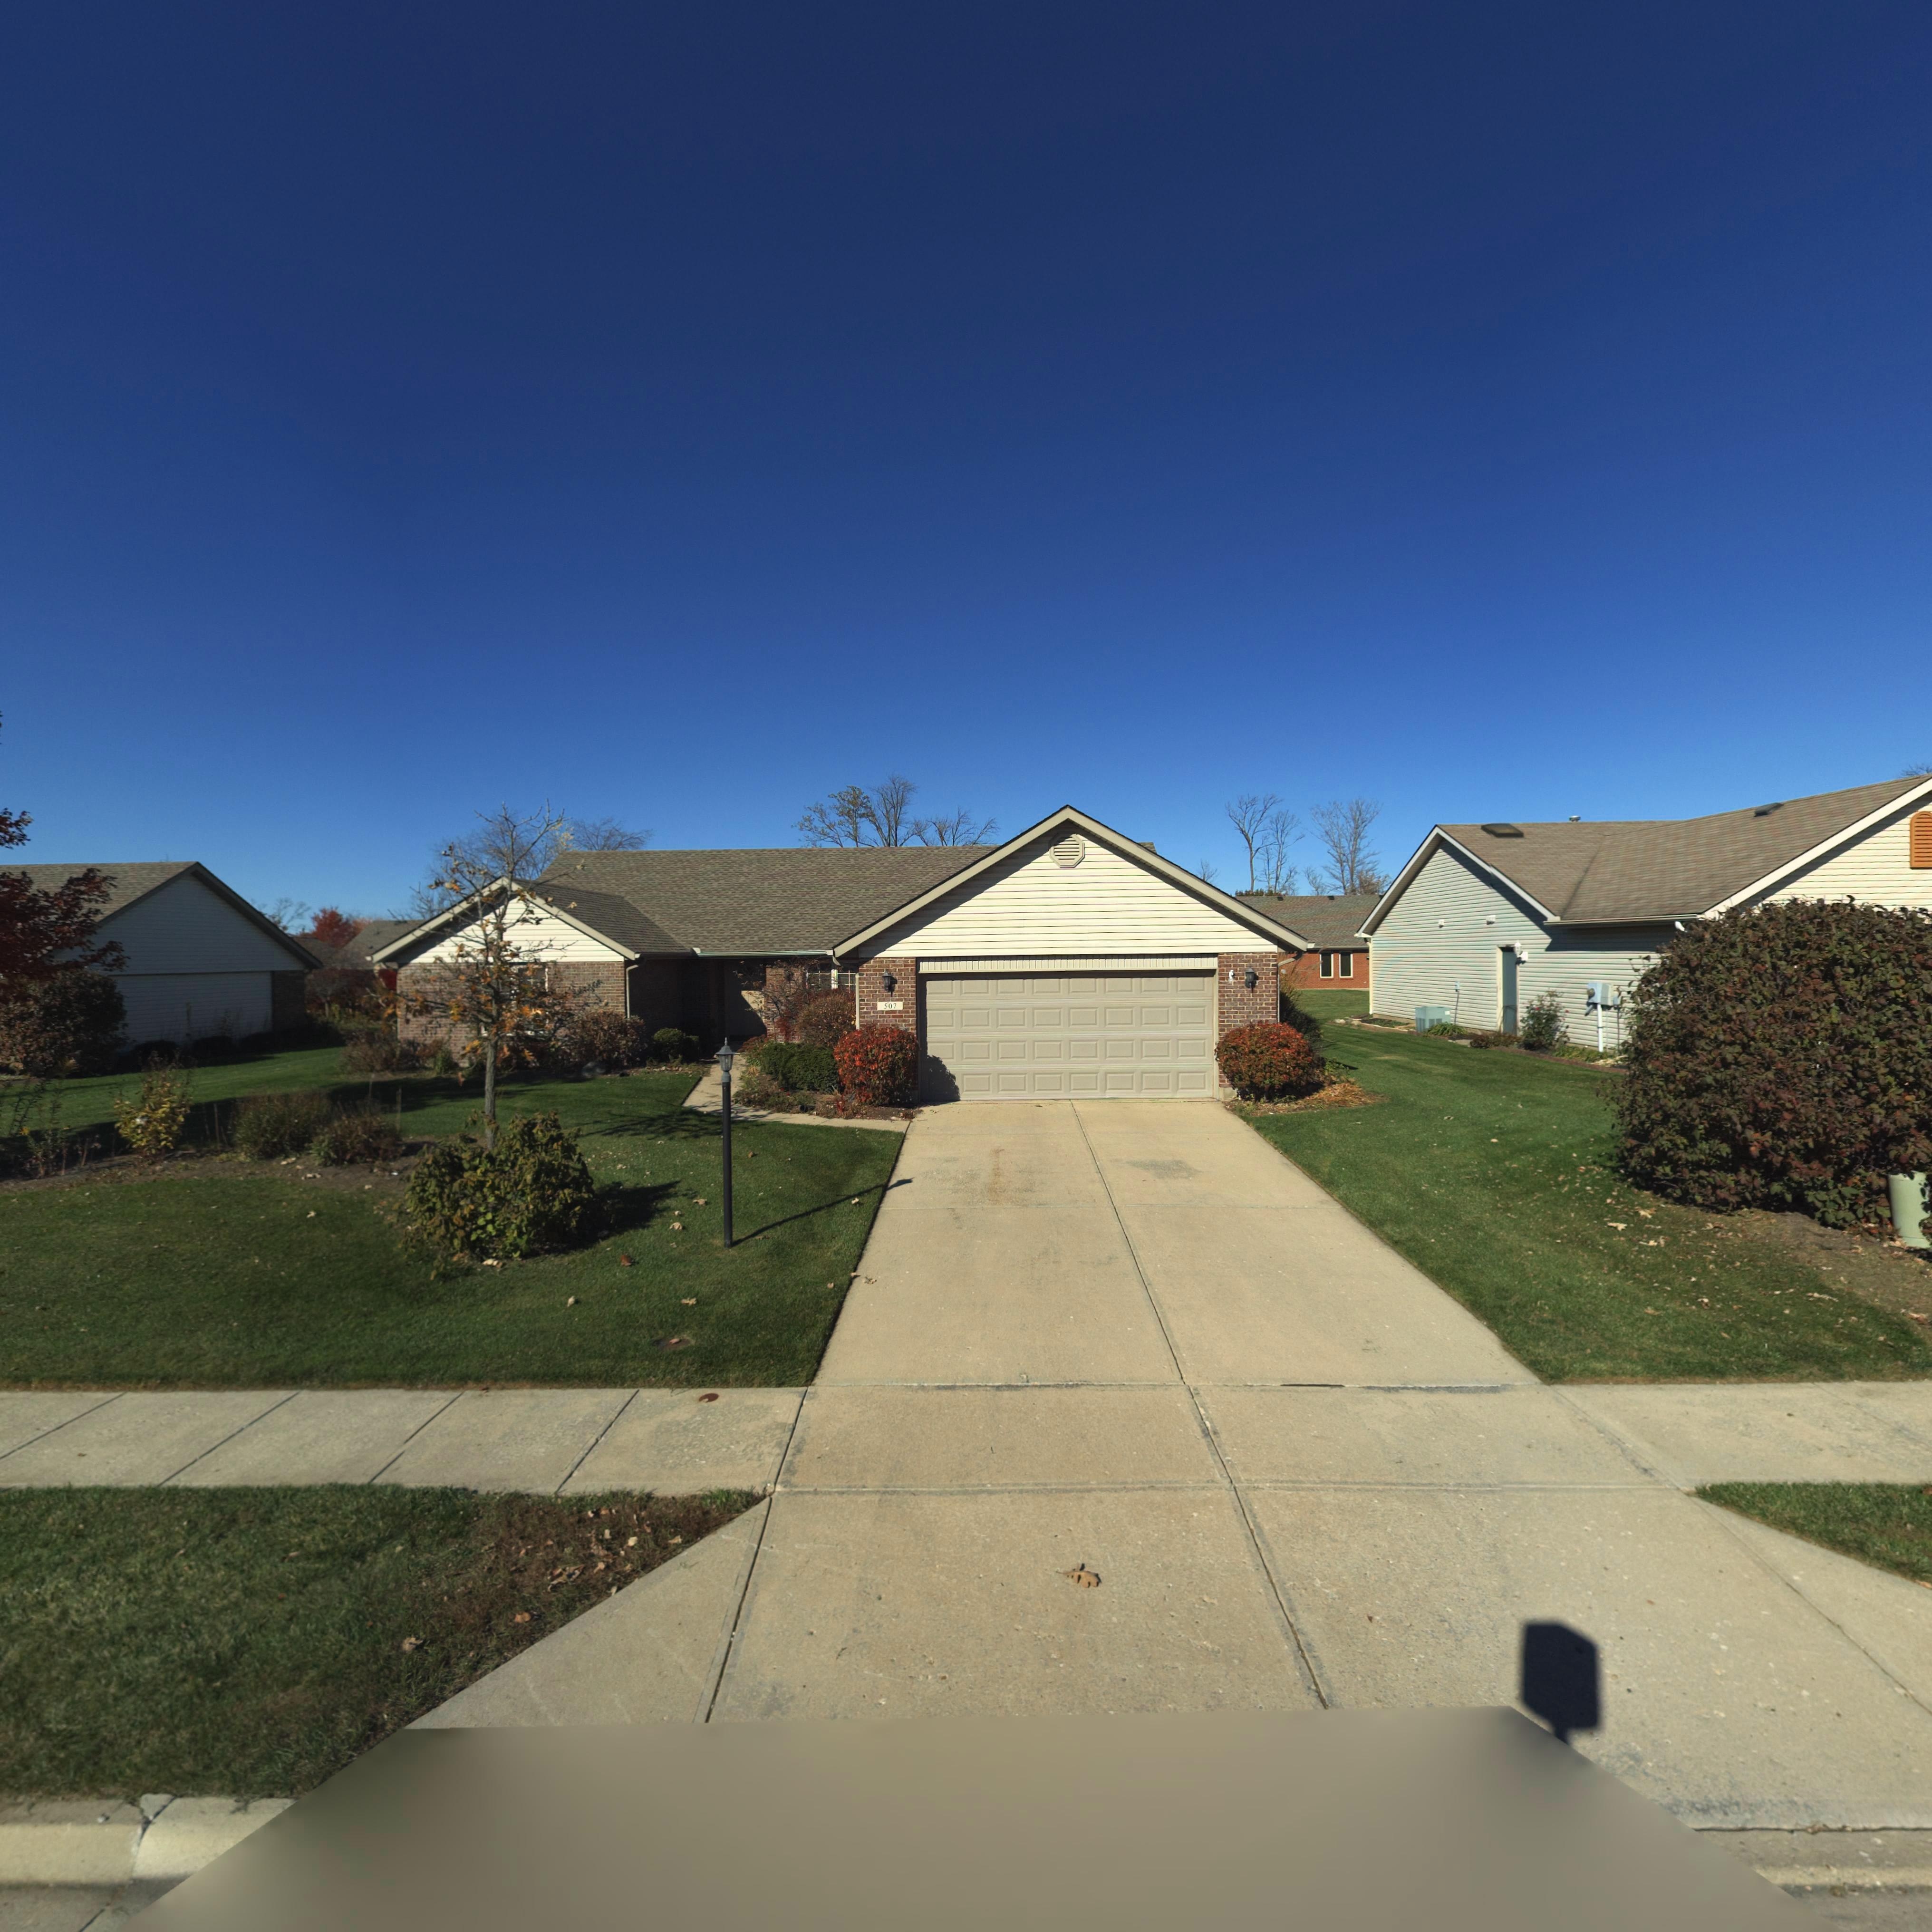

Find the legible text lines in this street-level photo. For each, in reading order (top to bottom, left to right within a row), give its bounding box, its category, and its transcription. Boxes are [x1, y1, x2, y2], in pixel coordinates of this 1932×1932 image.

[883, 1002, 898, 1010] StreetNumber: 507